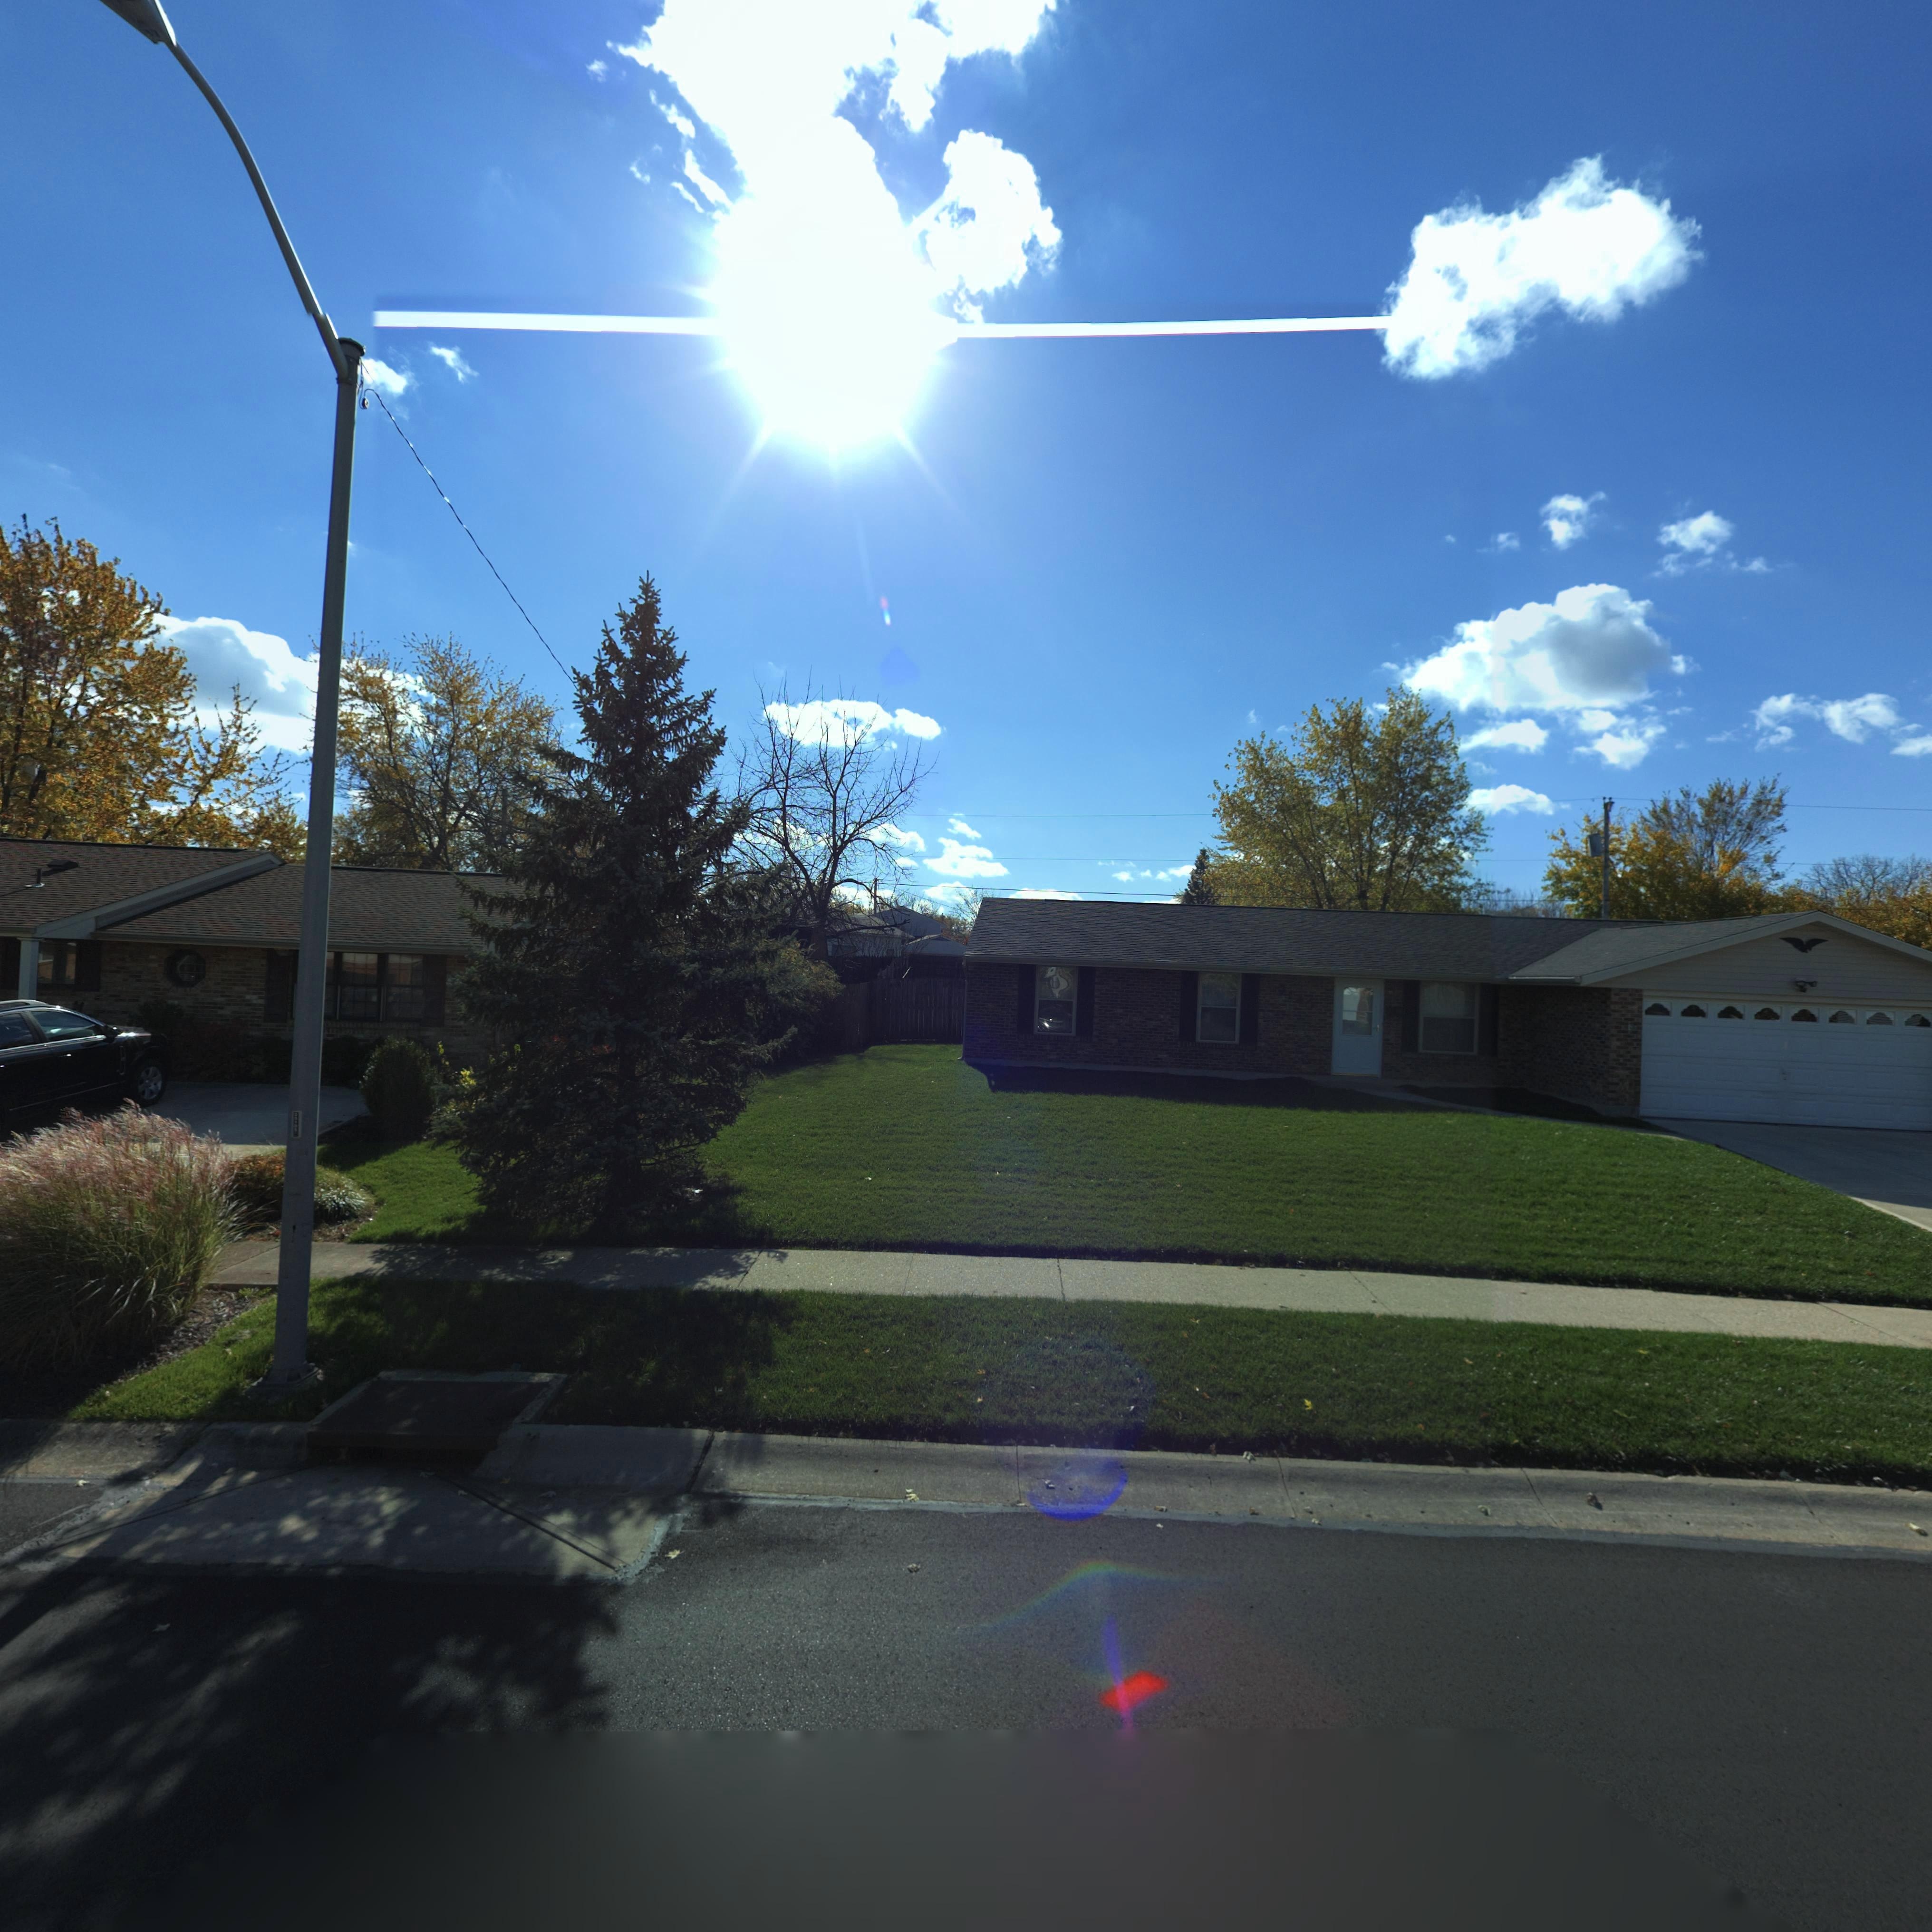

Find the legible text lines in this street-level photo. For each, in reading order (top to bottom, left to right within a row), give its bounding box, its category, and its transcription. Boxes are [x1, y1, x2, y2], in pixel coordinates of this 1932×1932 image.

[1276, 984, 1315, 1012] StreetNumber: ***0